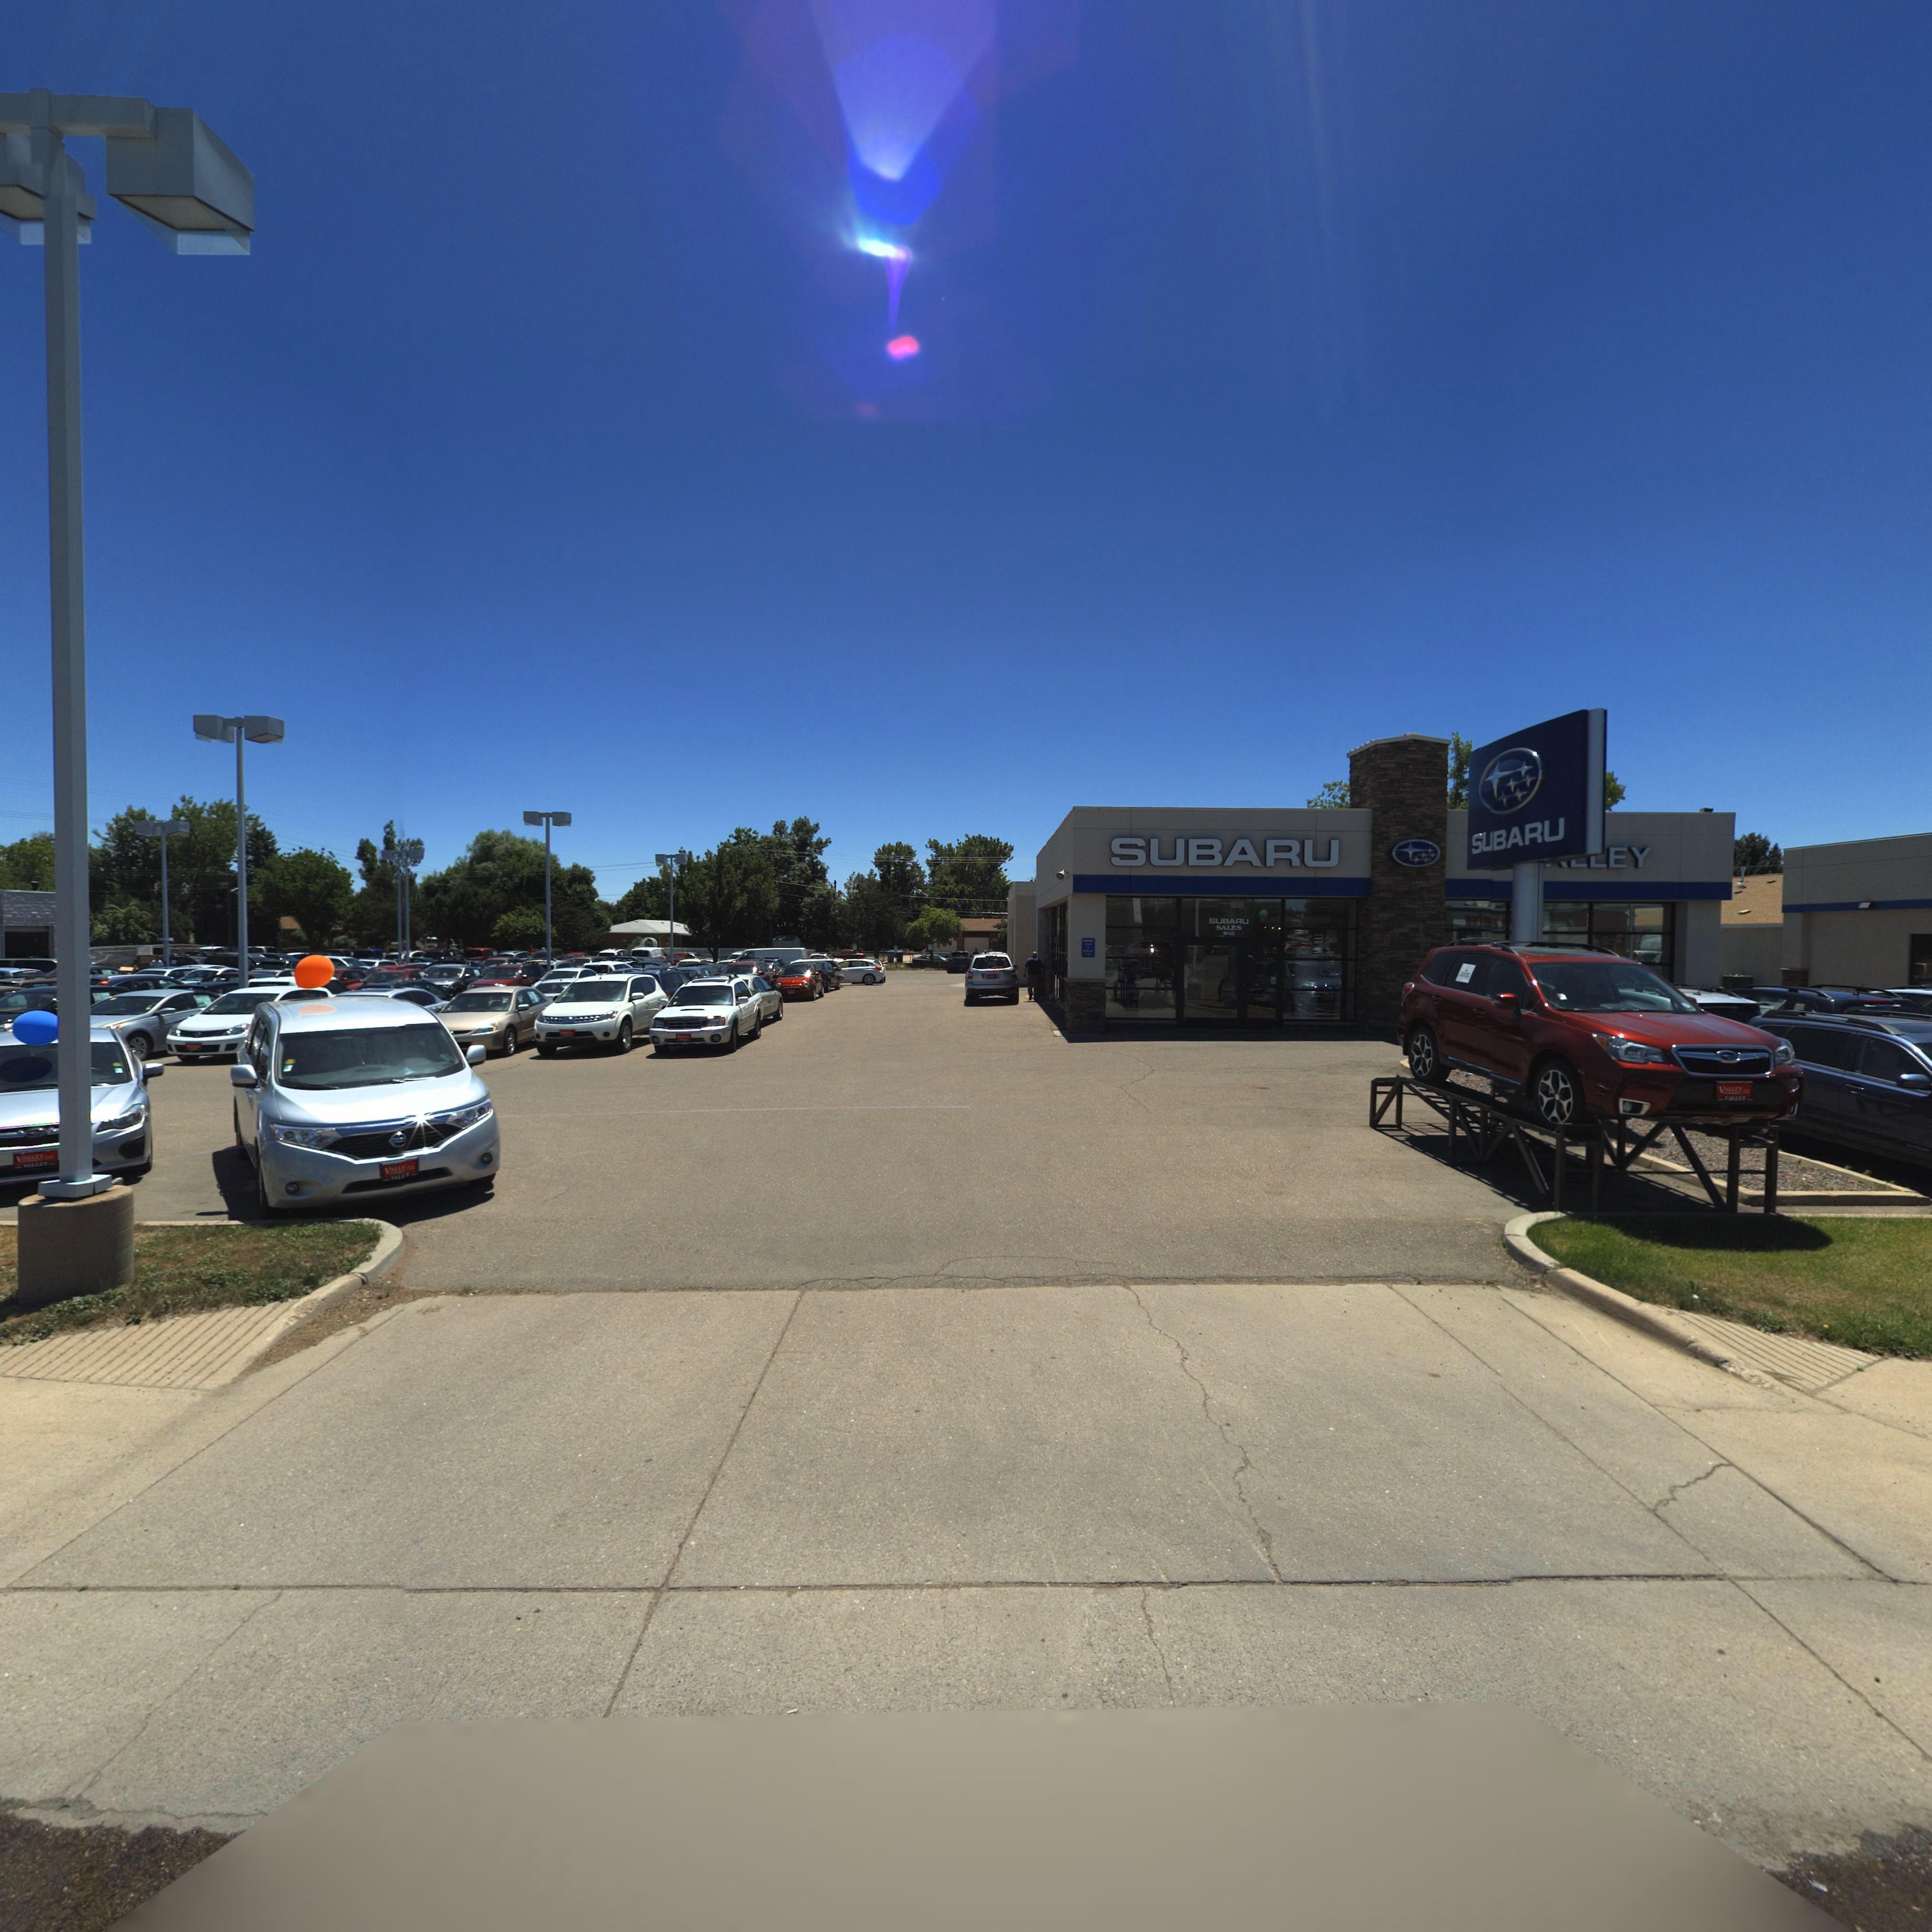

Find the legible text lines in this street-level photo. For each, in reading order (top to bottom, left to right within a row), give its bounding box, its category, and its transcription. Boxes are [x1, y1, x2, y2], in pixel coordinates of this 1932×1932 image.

[1471, 816, 1565, 855] BusinessName: SUBARU
[1109, 837, 1340, 869] BusinessName: SUBARU
[1543, 845, 1654, 869] BusinessName: **LEY
[1208, 918, 1249, 924] BusinessName: SUBARU
[1223, 931, 1235, 936] StreetNumber: 1**5
[1216, 925, 1242, 930] BusinessName: SALES